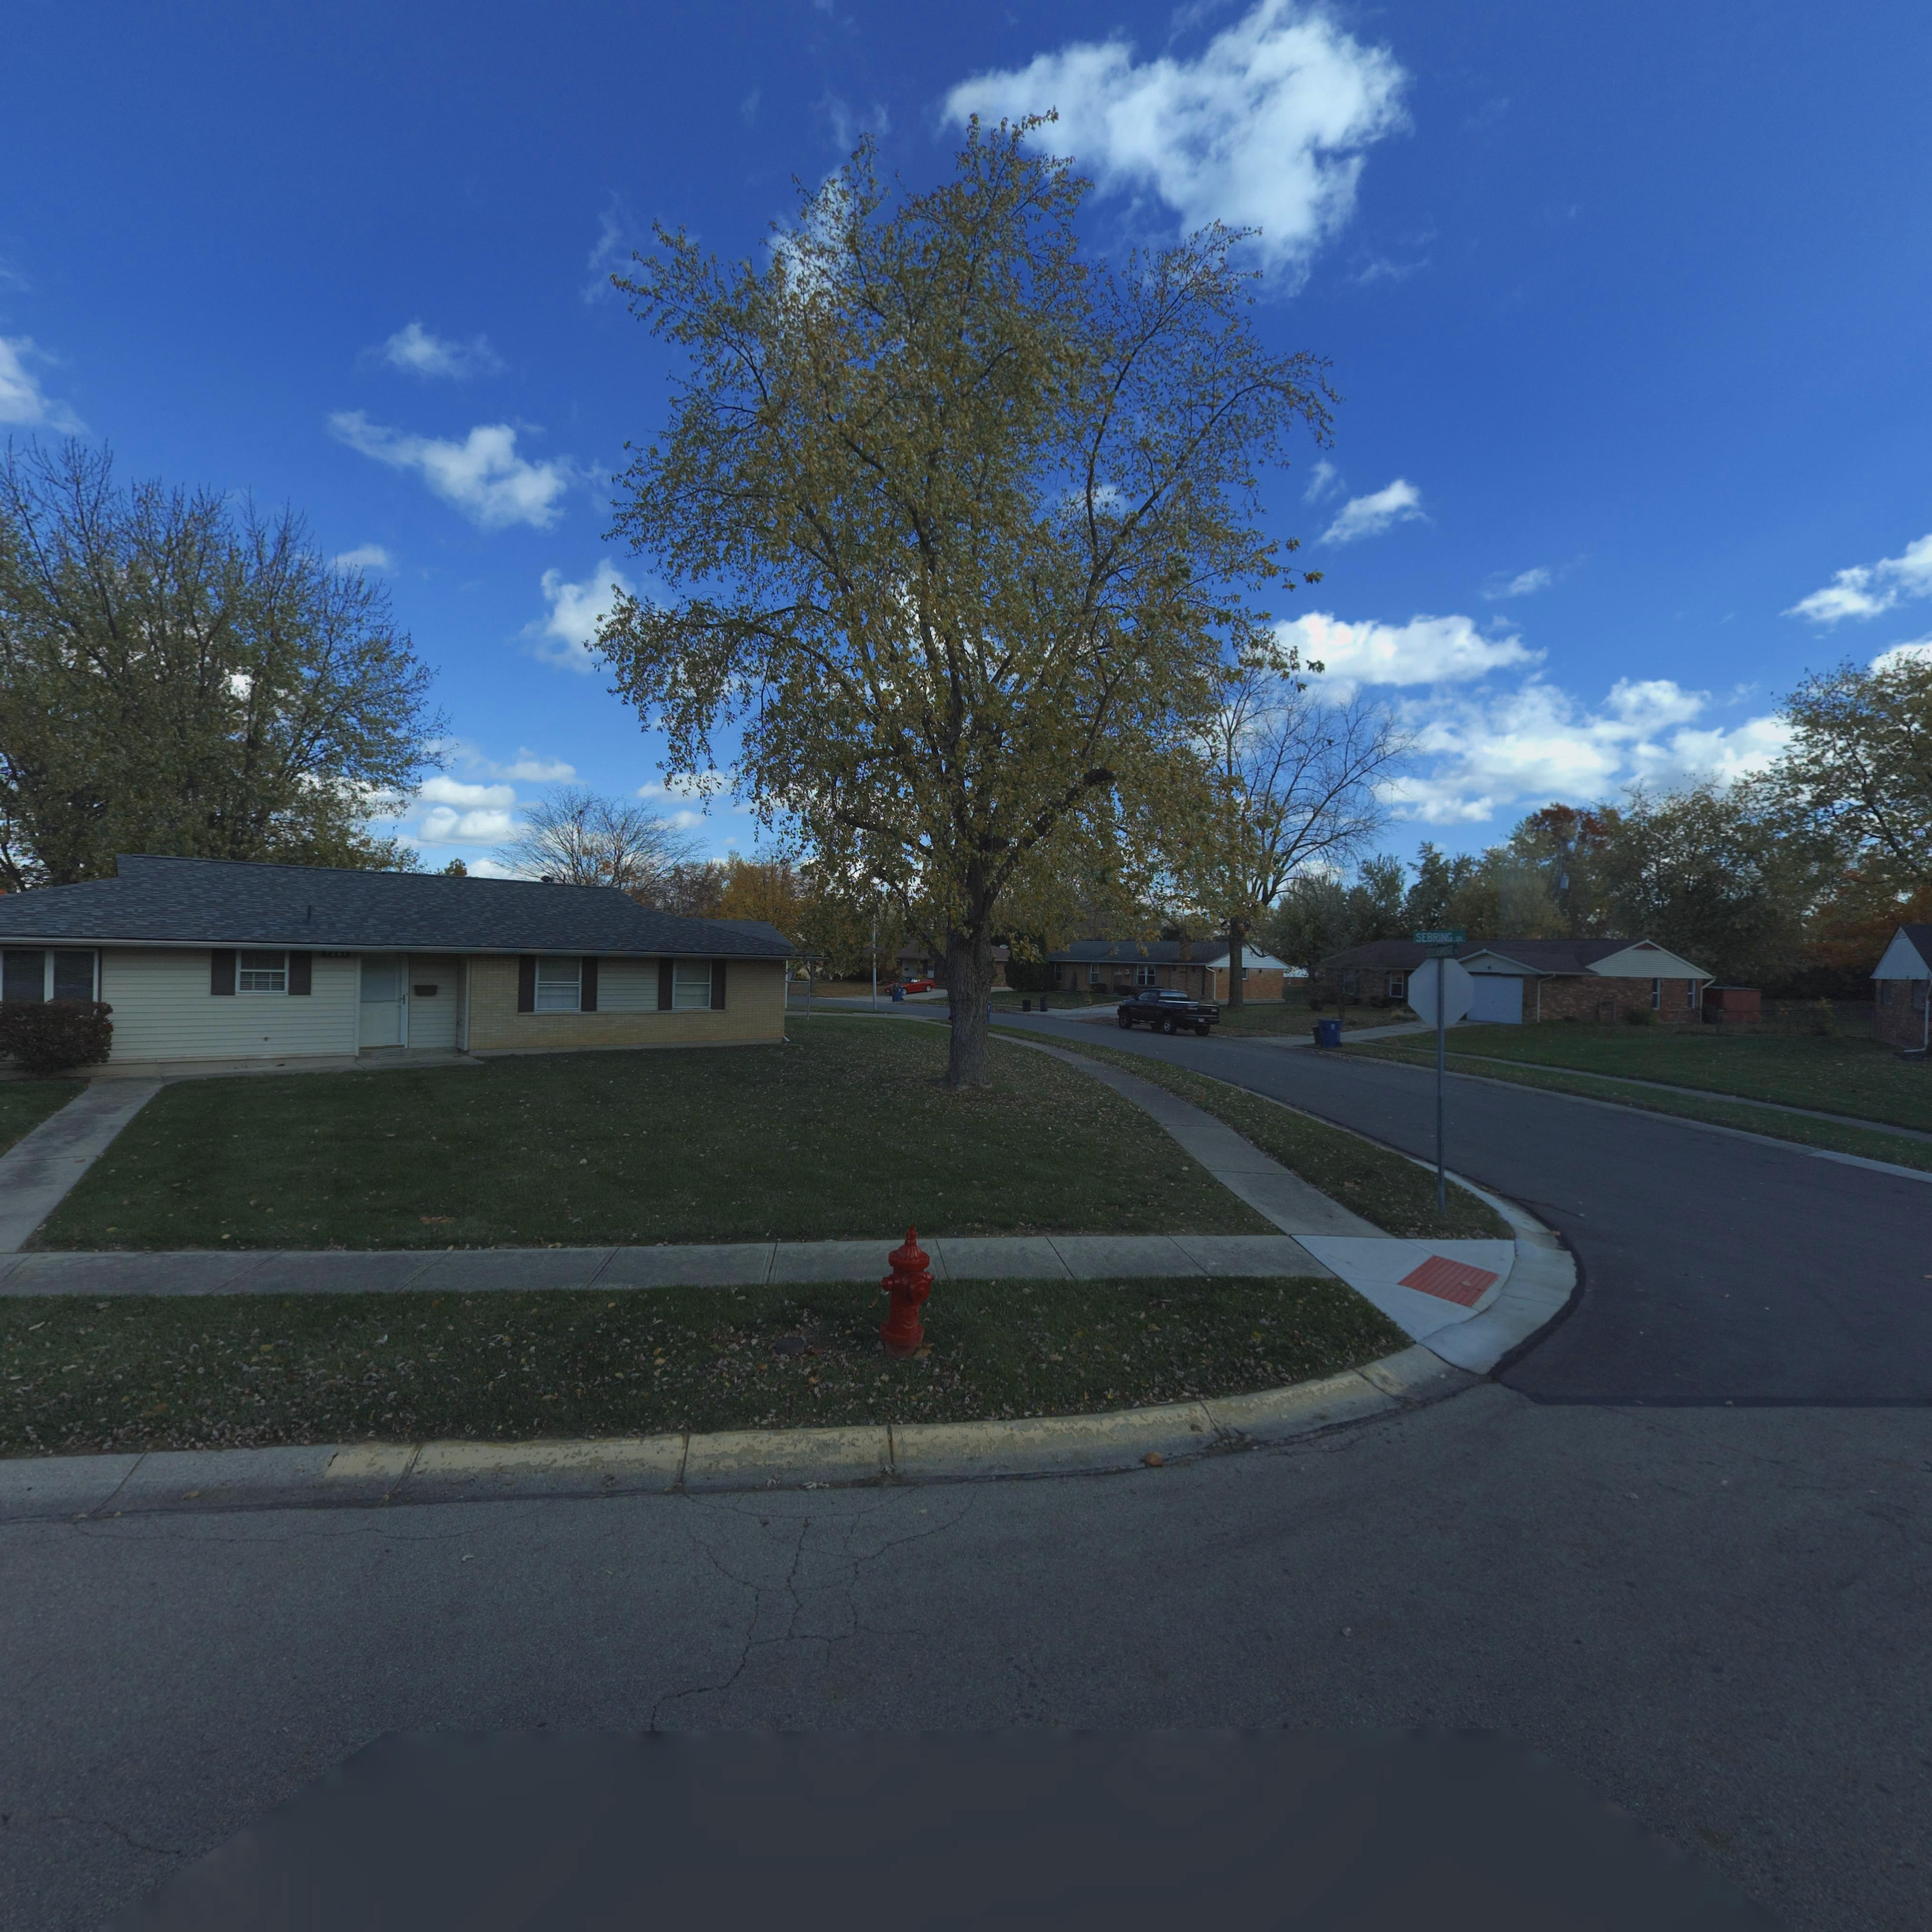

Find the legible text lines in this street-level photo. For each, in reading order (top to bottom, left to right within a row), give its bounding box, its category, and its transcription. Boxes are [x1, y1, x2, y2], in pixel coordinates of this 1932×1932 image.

[324, 951, 347, 957] StreetNumber: 780*